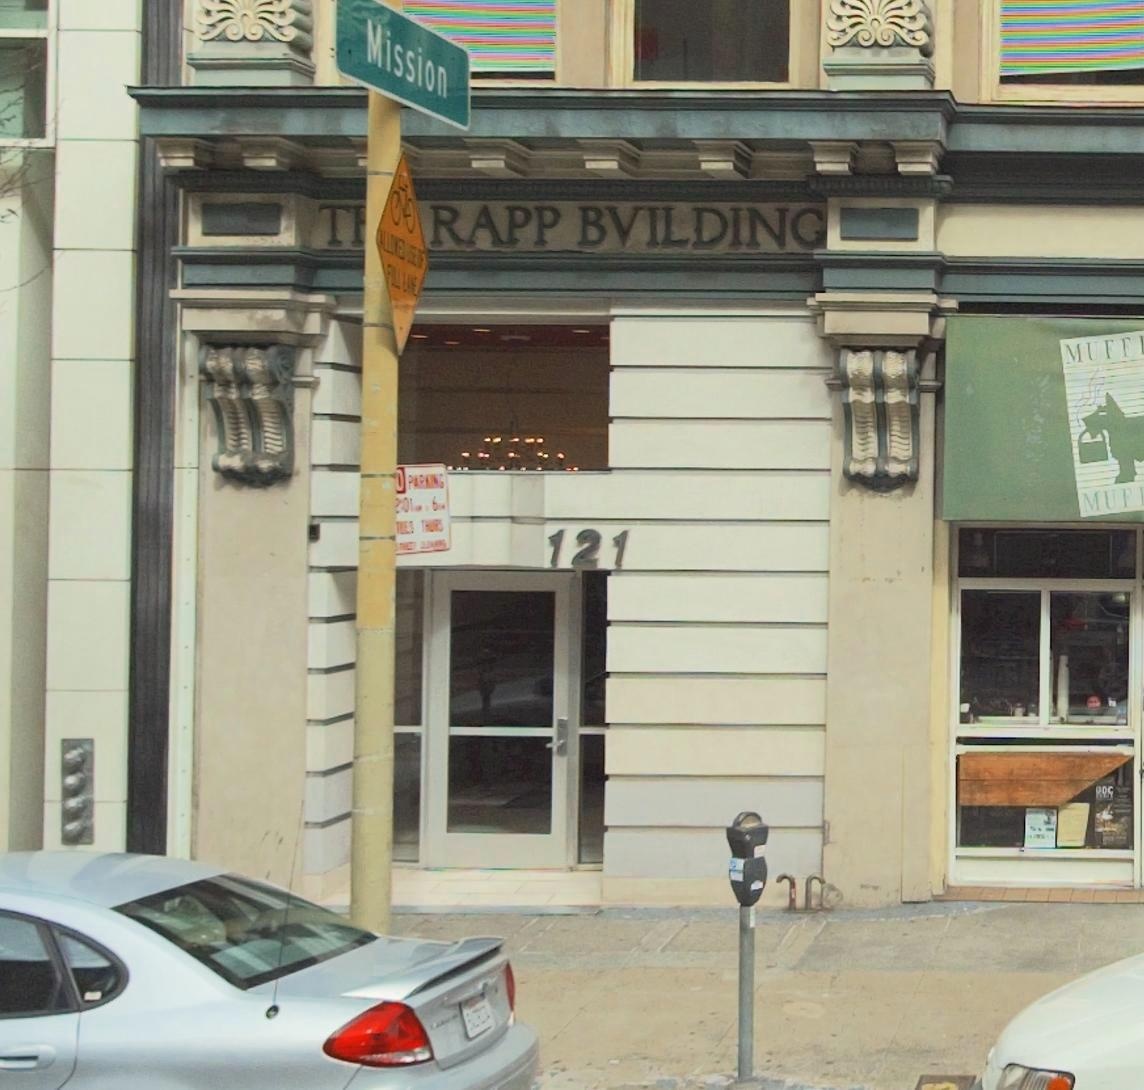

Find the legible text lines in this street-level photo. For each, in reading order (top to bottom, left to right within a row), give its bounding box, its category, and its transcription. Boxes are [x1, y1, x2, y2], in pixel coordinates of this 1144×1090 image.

[362, 10, 451, 106] StreetName: Mission
[313, 200, 357, 251] None: T
[424, 197, 831, 252] None: RAPP BVILDING
[1059, 331, 1140, 369] BusinessName: MUFF
[391, 494, 415, 517] None: *:01
[428, 493, 441, 514] None: 6
[1078, 484, 1136, 516] BusinessName: MUF
[545, 525, 634, 571] StreetNumber: 121